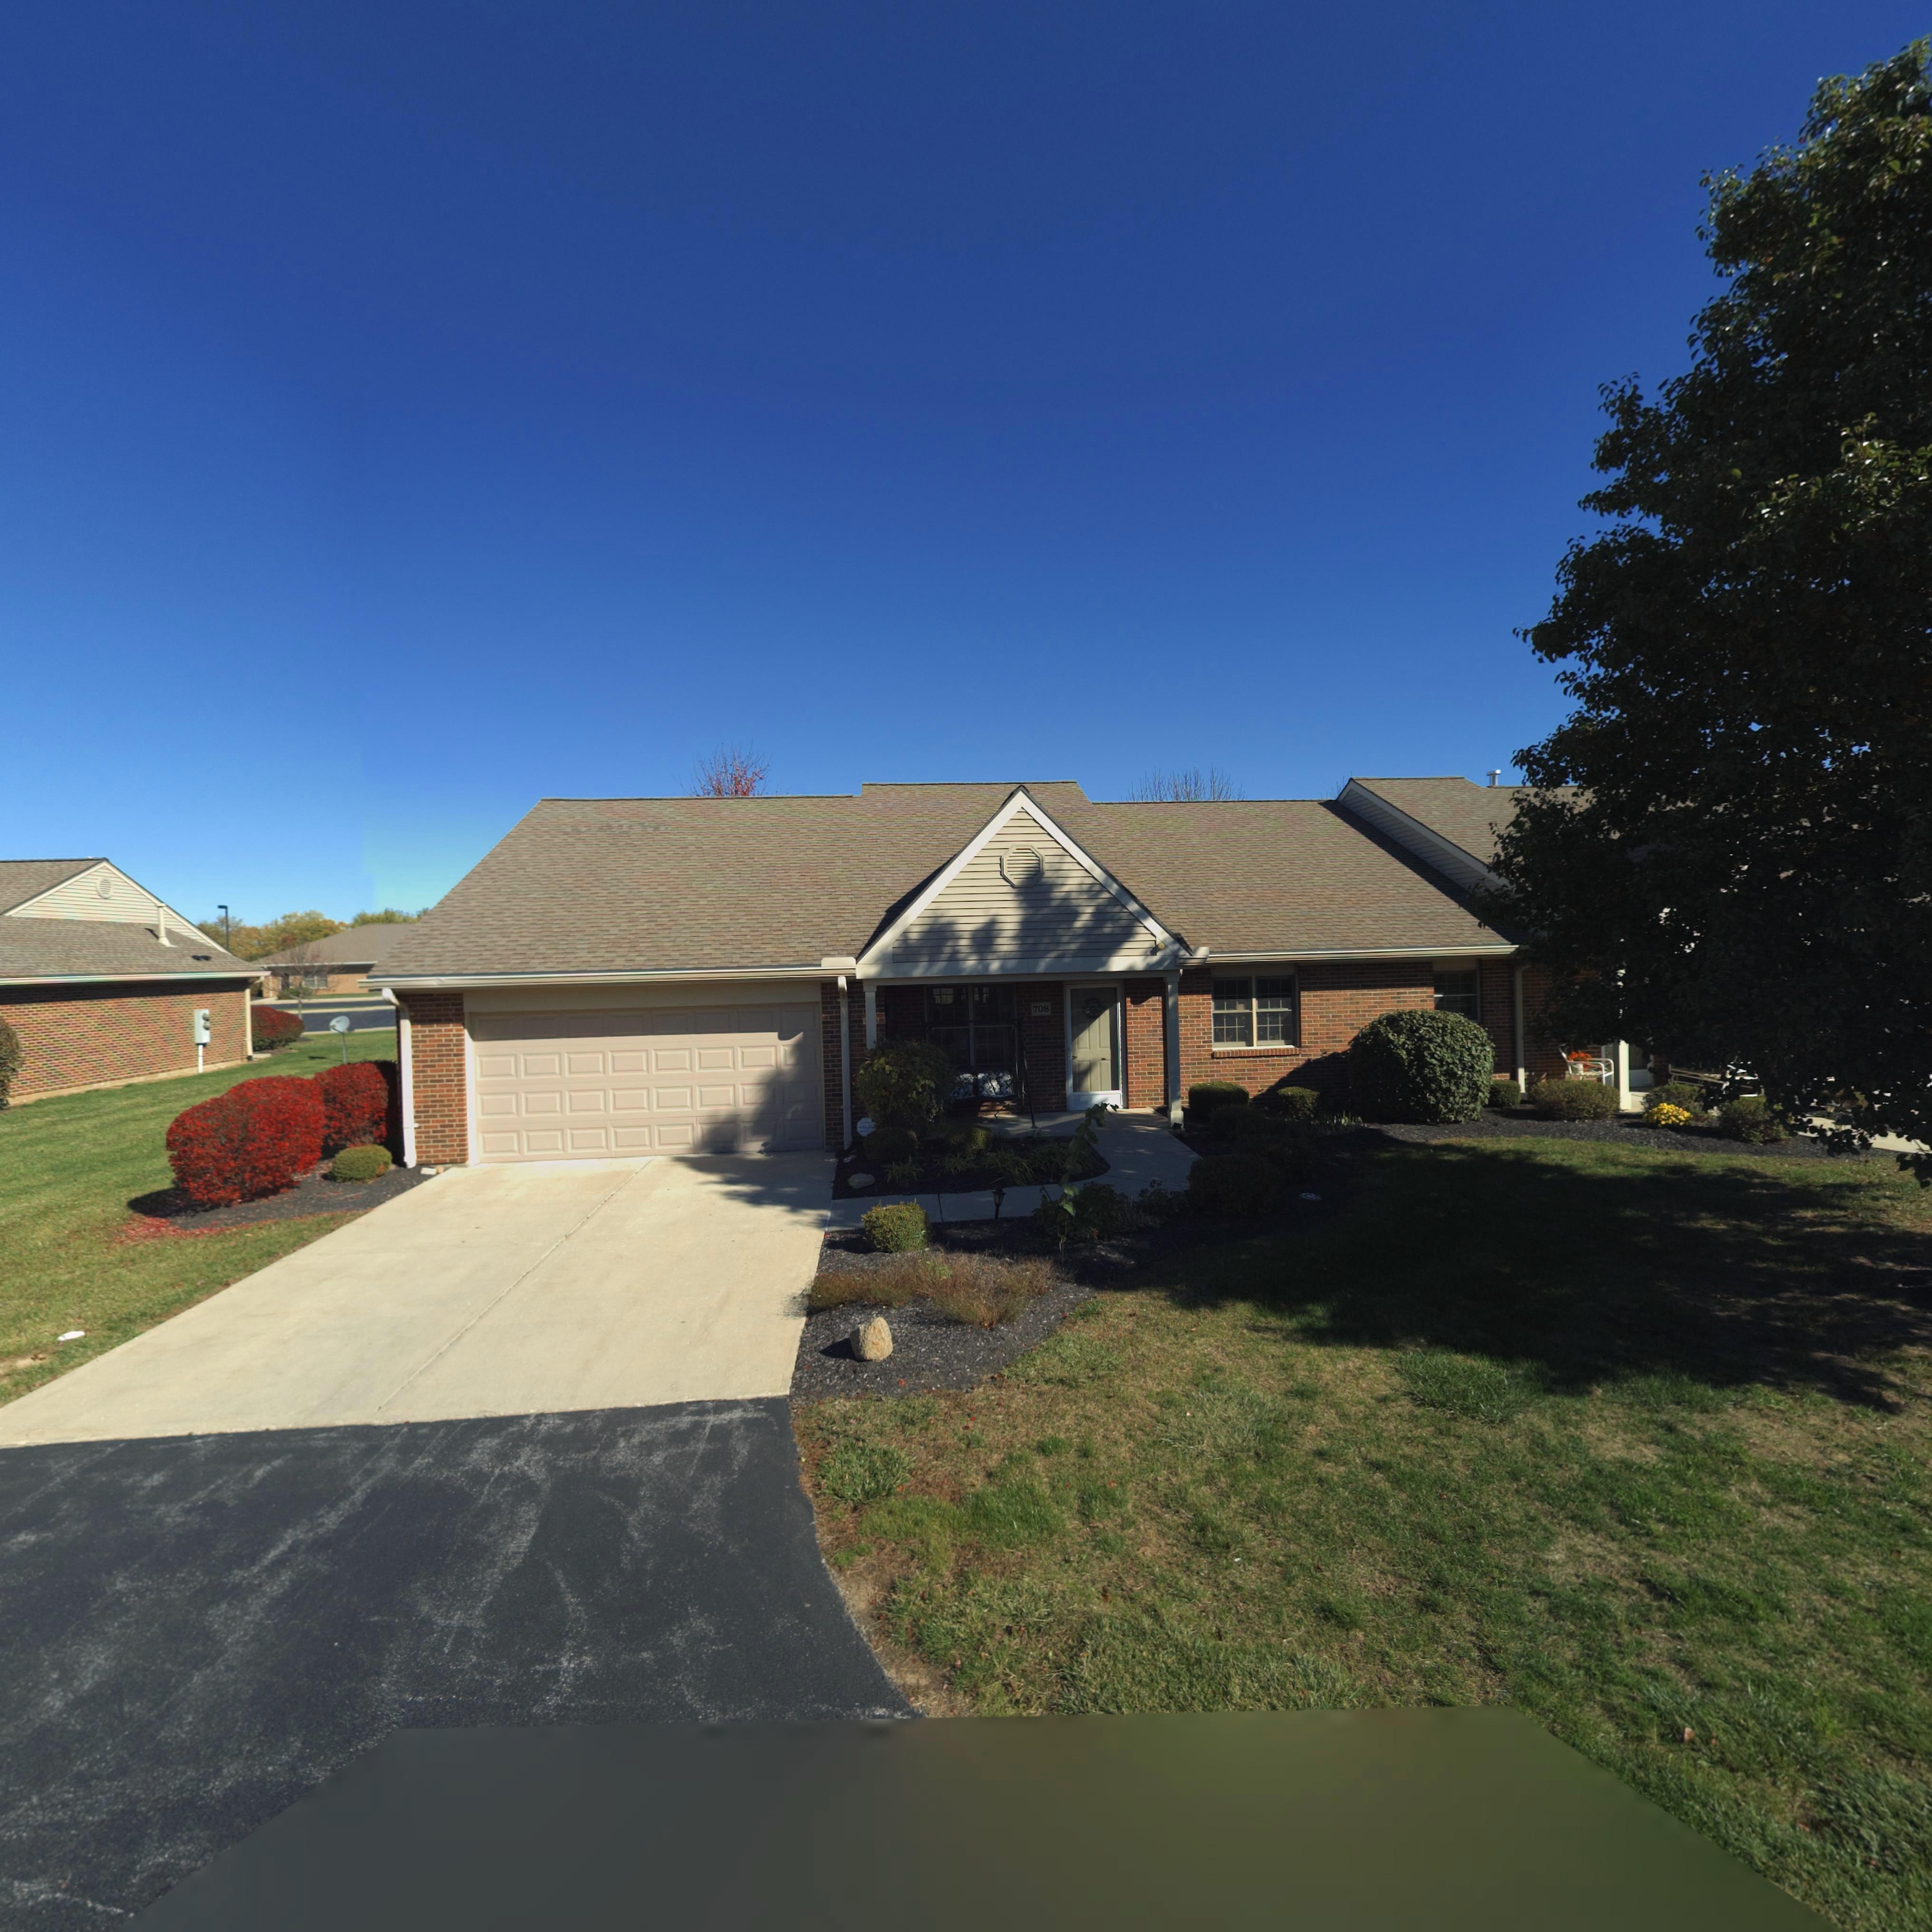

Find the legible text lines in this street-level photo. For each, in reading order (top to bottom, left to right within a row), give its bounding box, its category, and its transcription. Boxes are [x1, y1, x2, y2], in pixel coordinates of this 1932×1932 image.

[1032, 1005, 1049, 1013] StreetNumber: 708